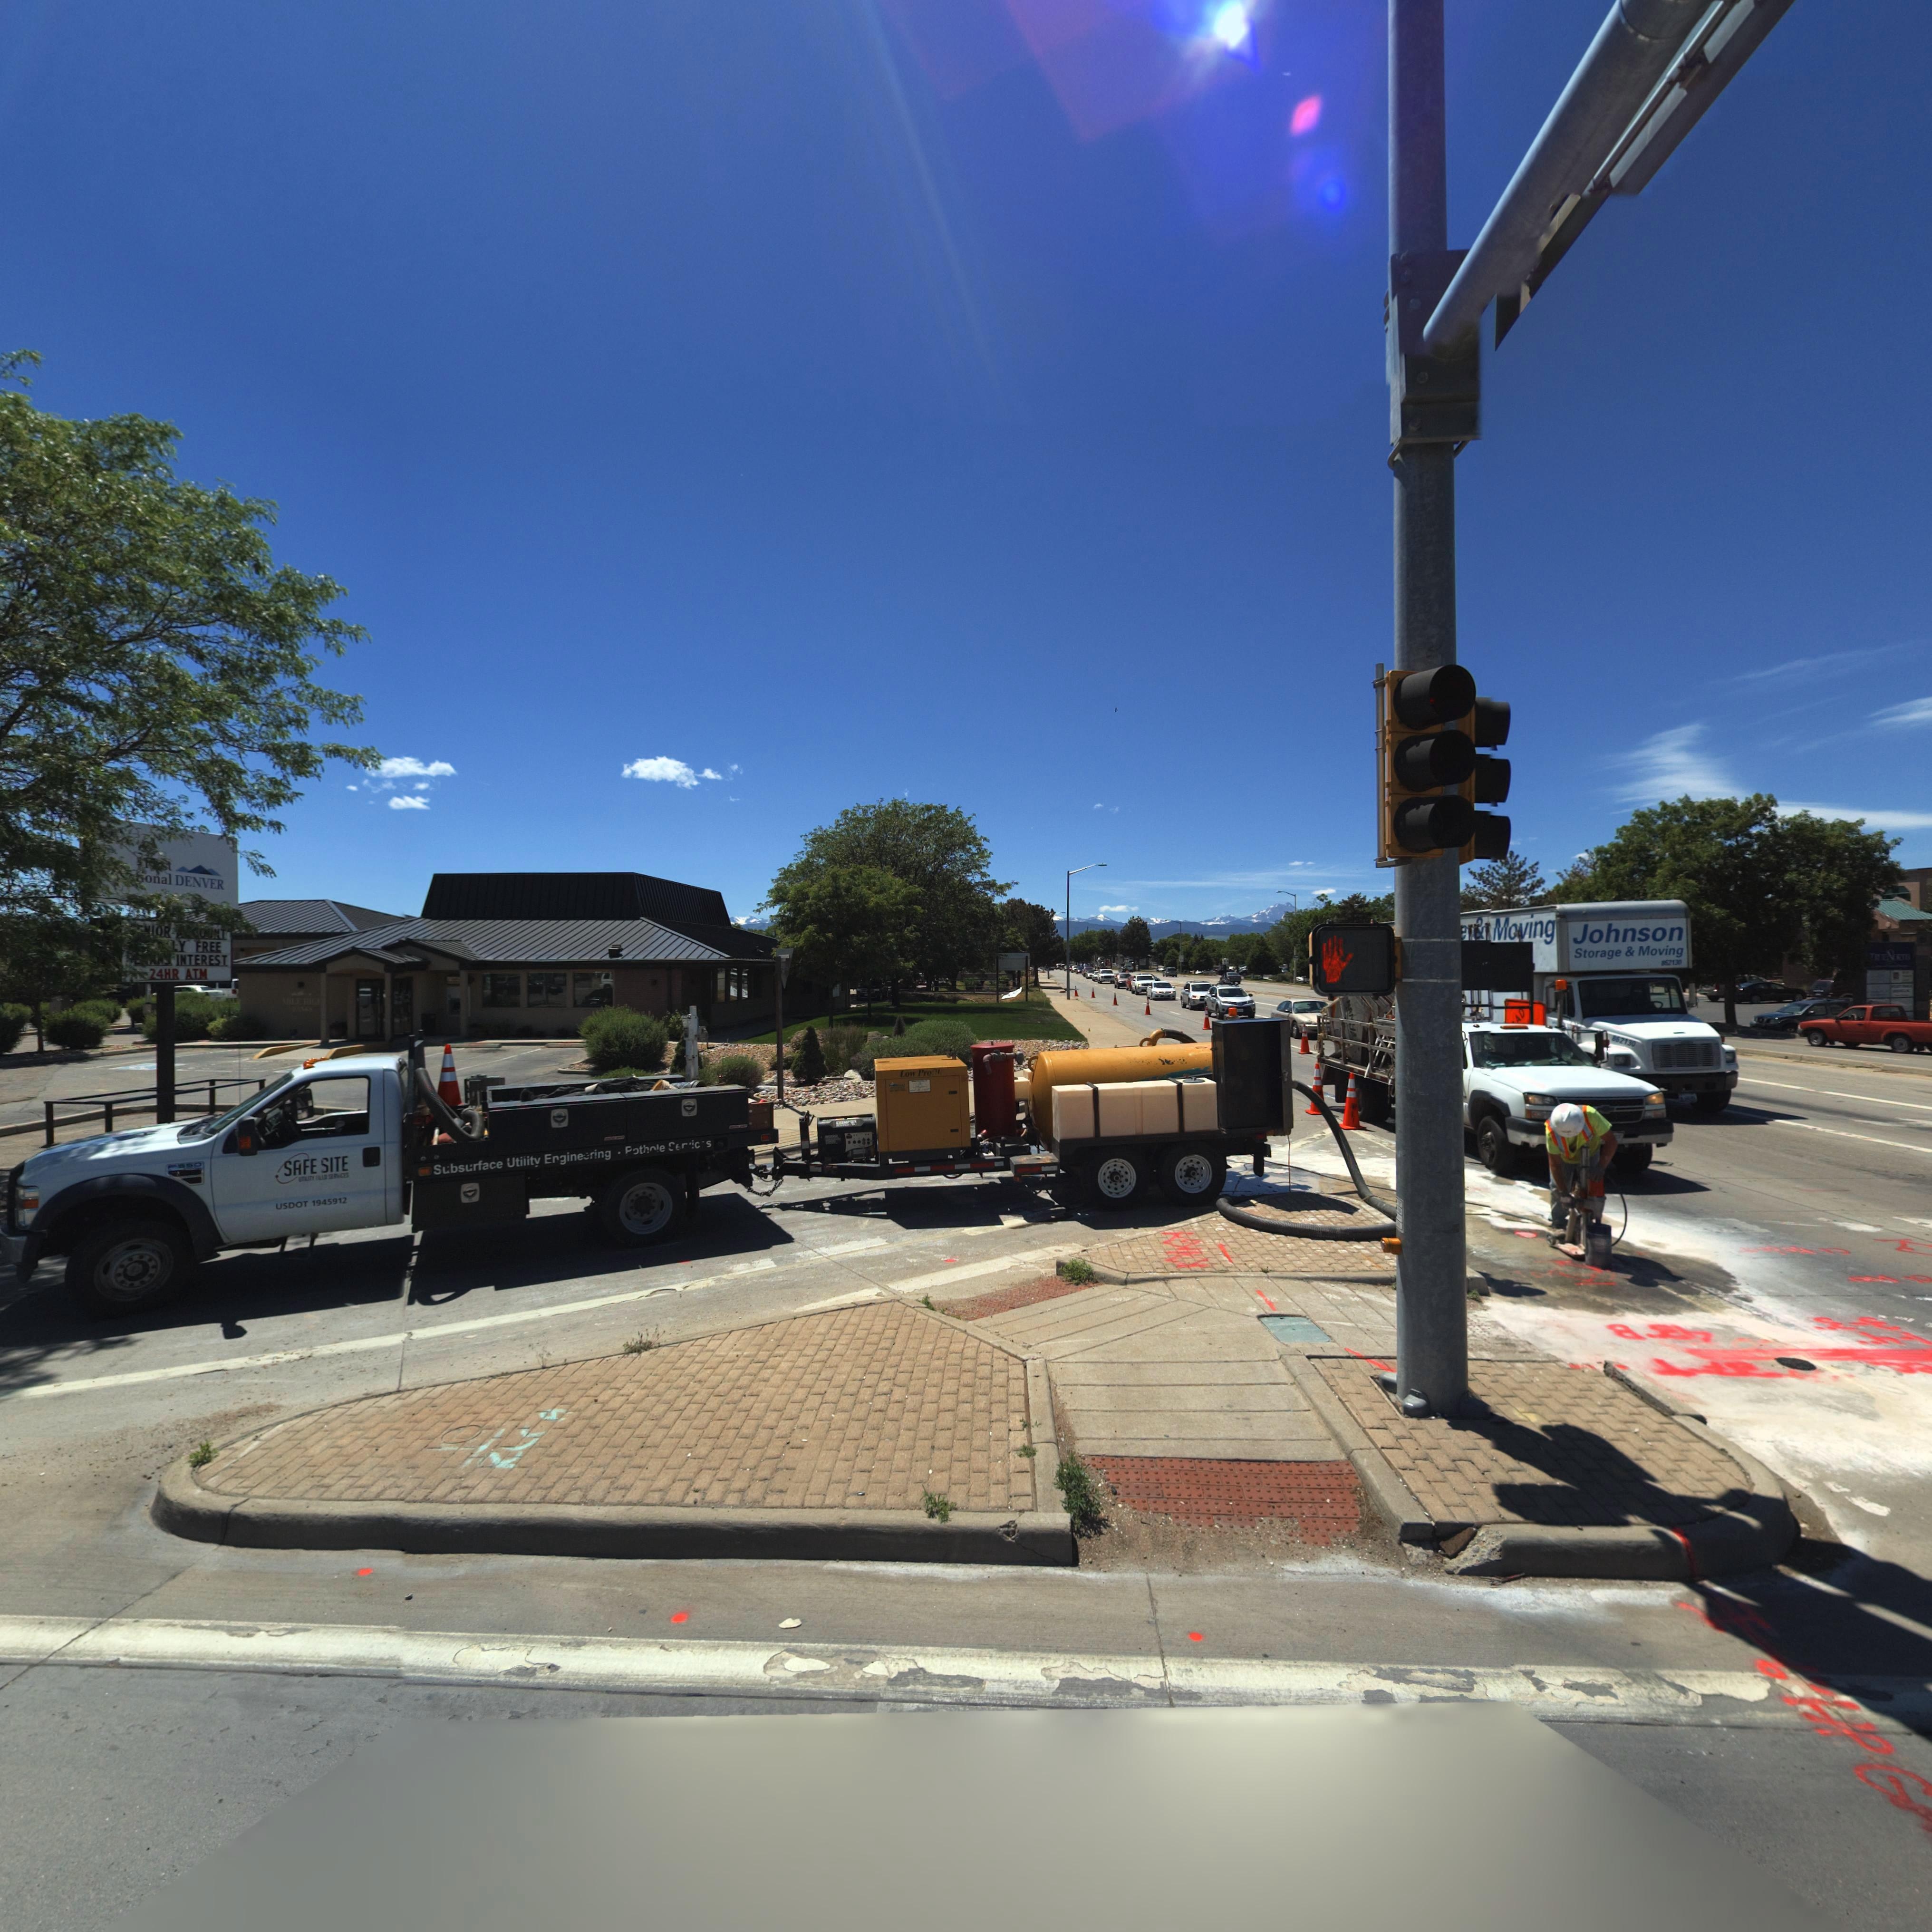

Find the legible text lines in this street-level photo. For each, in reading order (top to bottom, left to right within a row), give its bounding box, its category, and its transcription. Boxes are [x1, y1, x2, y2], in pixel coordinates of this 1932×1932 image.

[145, 872, 225, 890] BusinessName: onal DENVER